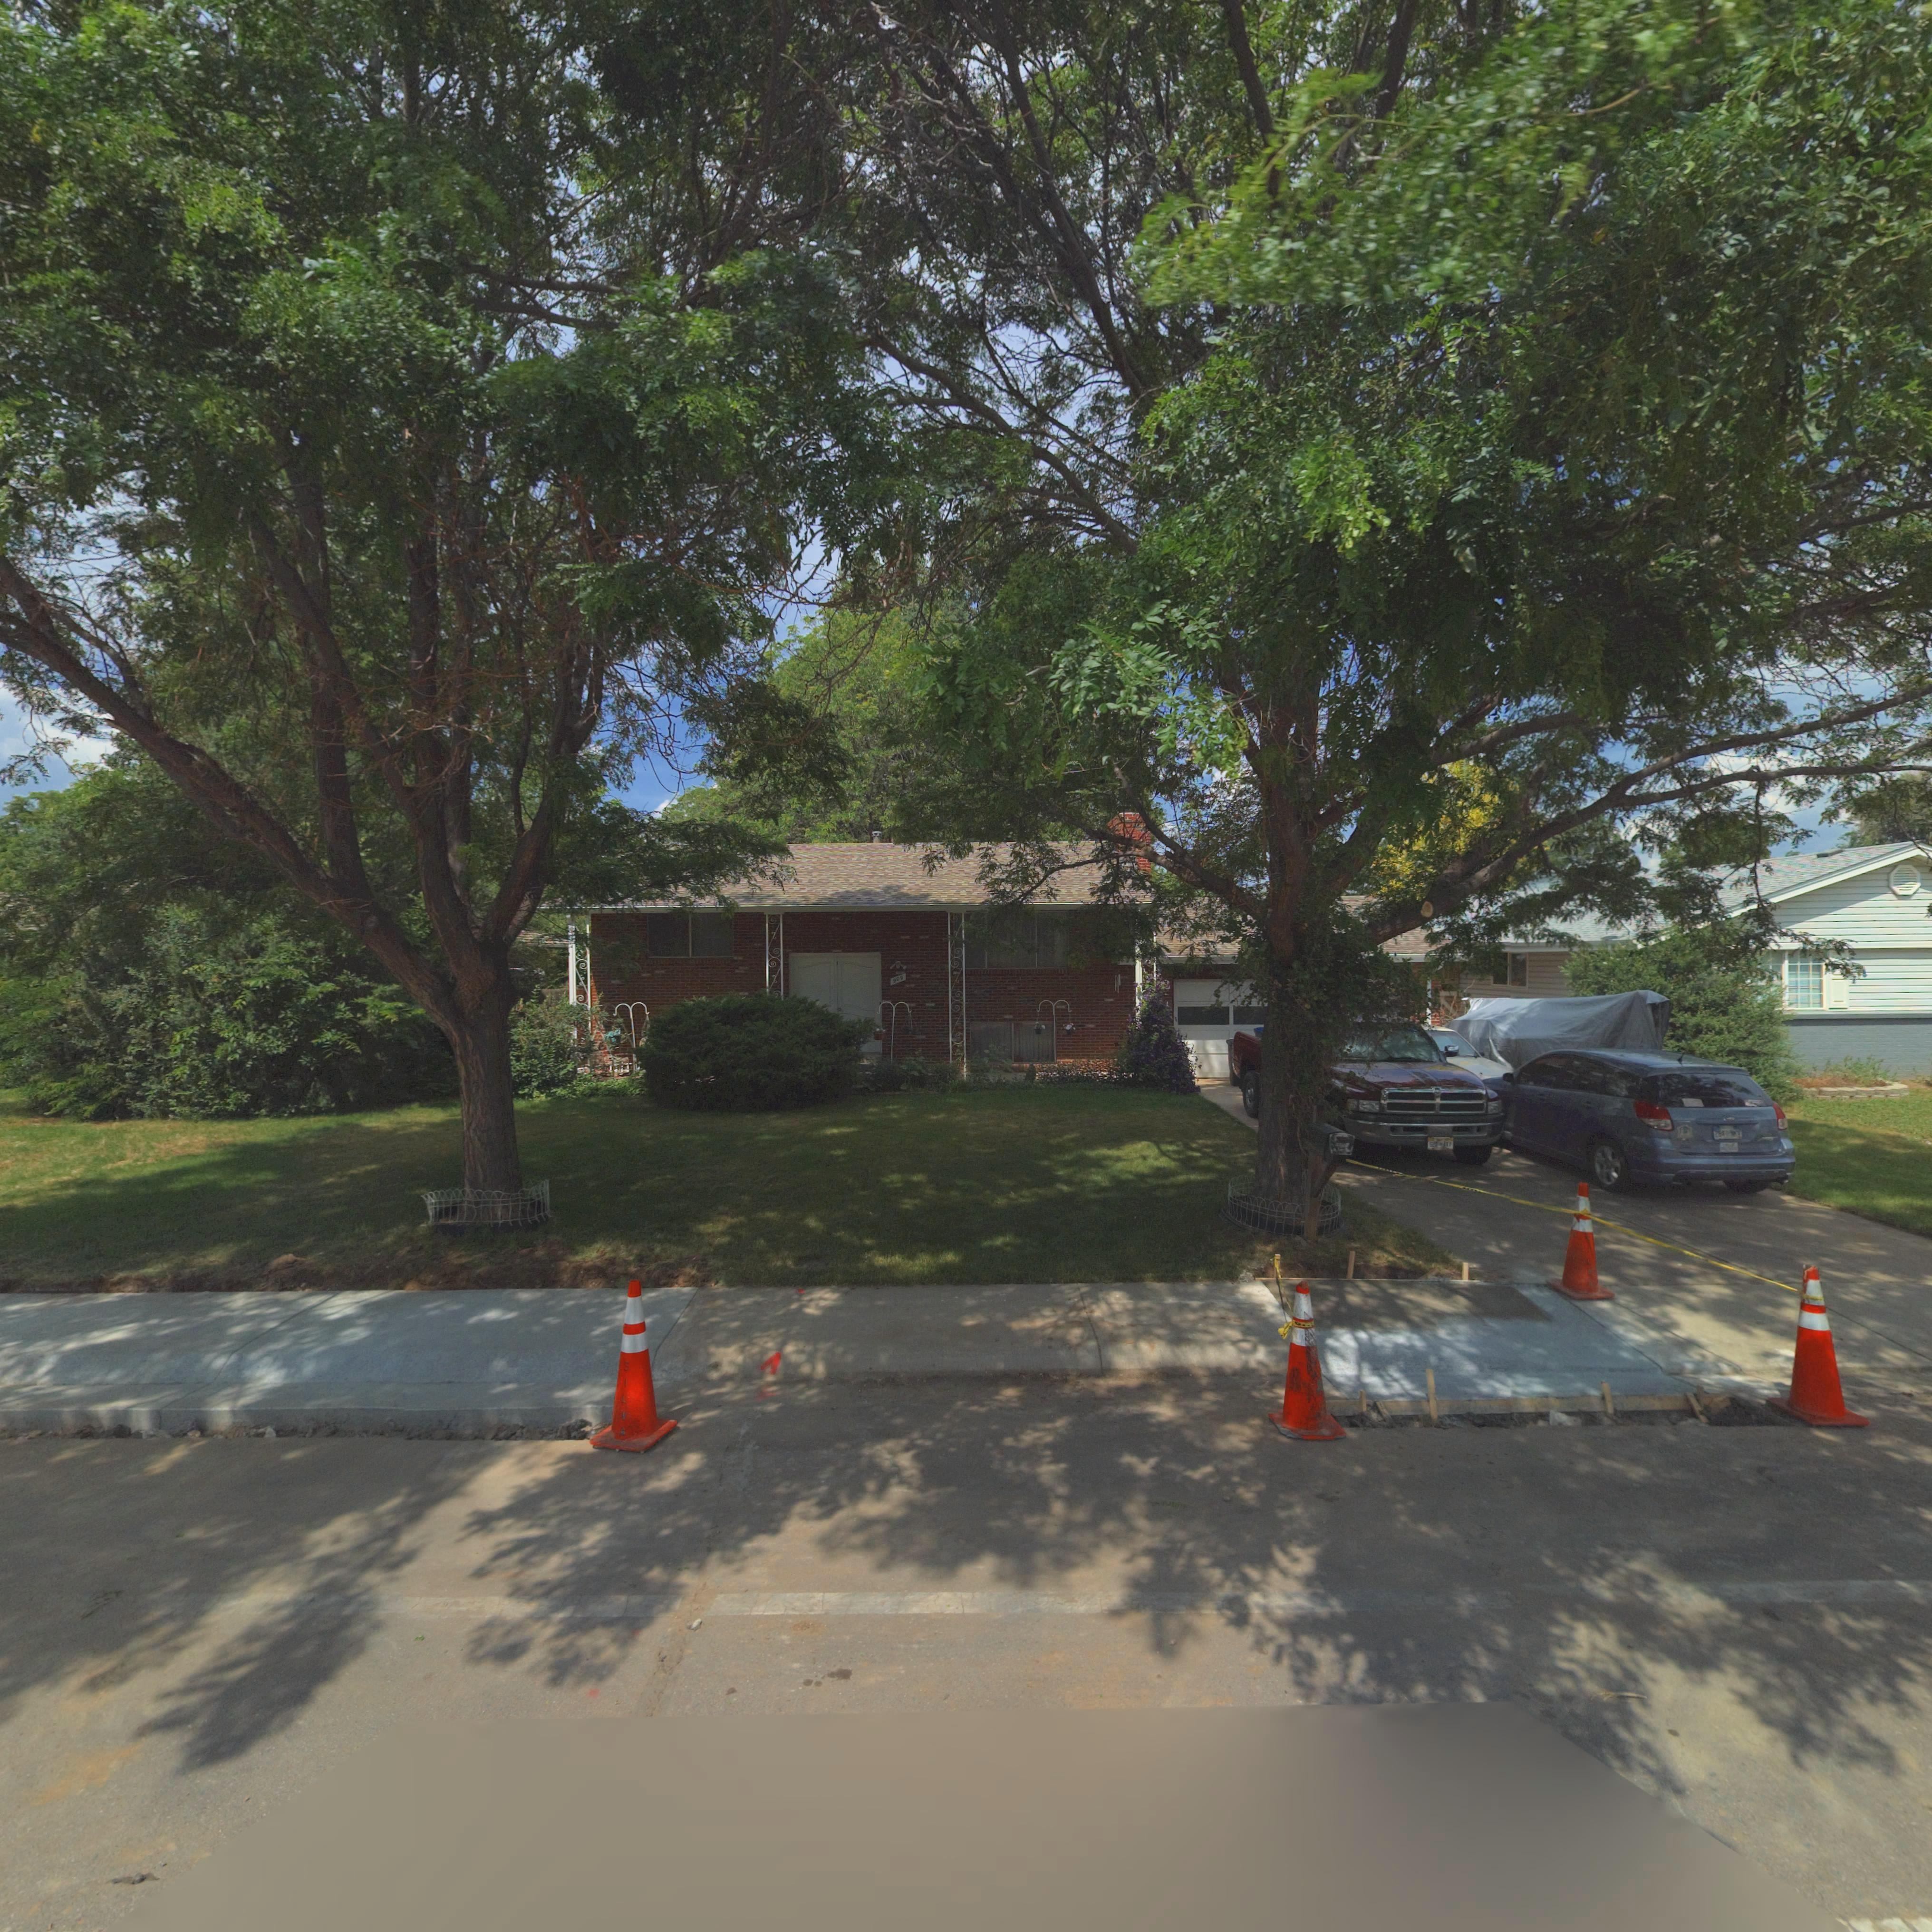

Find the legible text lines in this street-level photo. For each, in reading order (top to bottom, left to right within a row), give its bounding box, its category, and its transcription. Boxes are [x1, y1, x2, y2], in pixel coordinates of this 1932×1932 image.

[892, 975, 903, 984] StreetNumber: 909